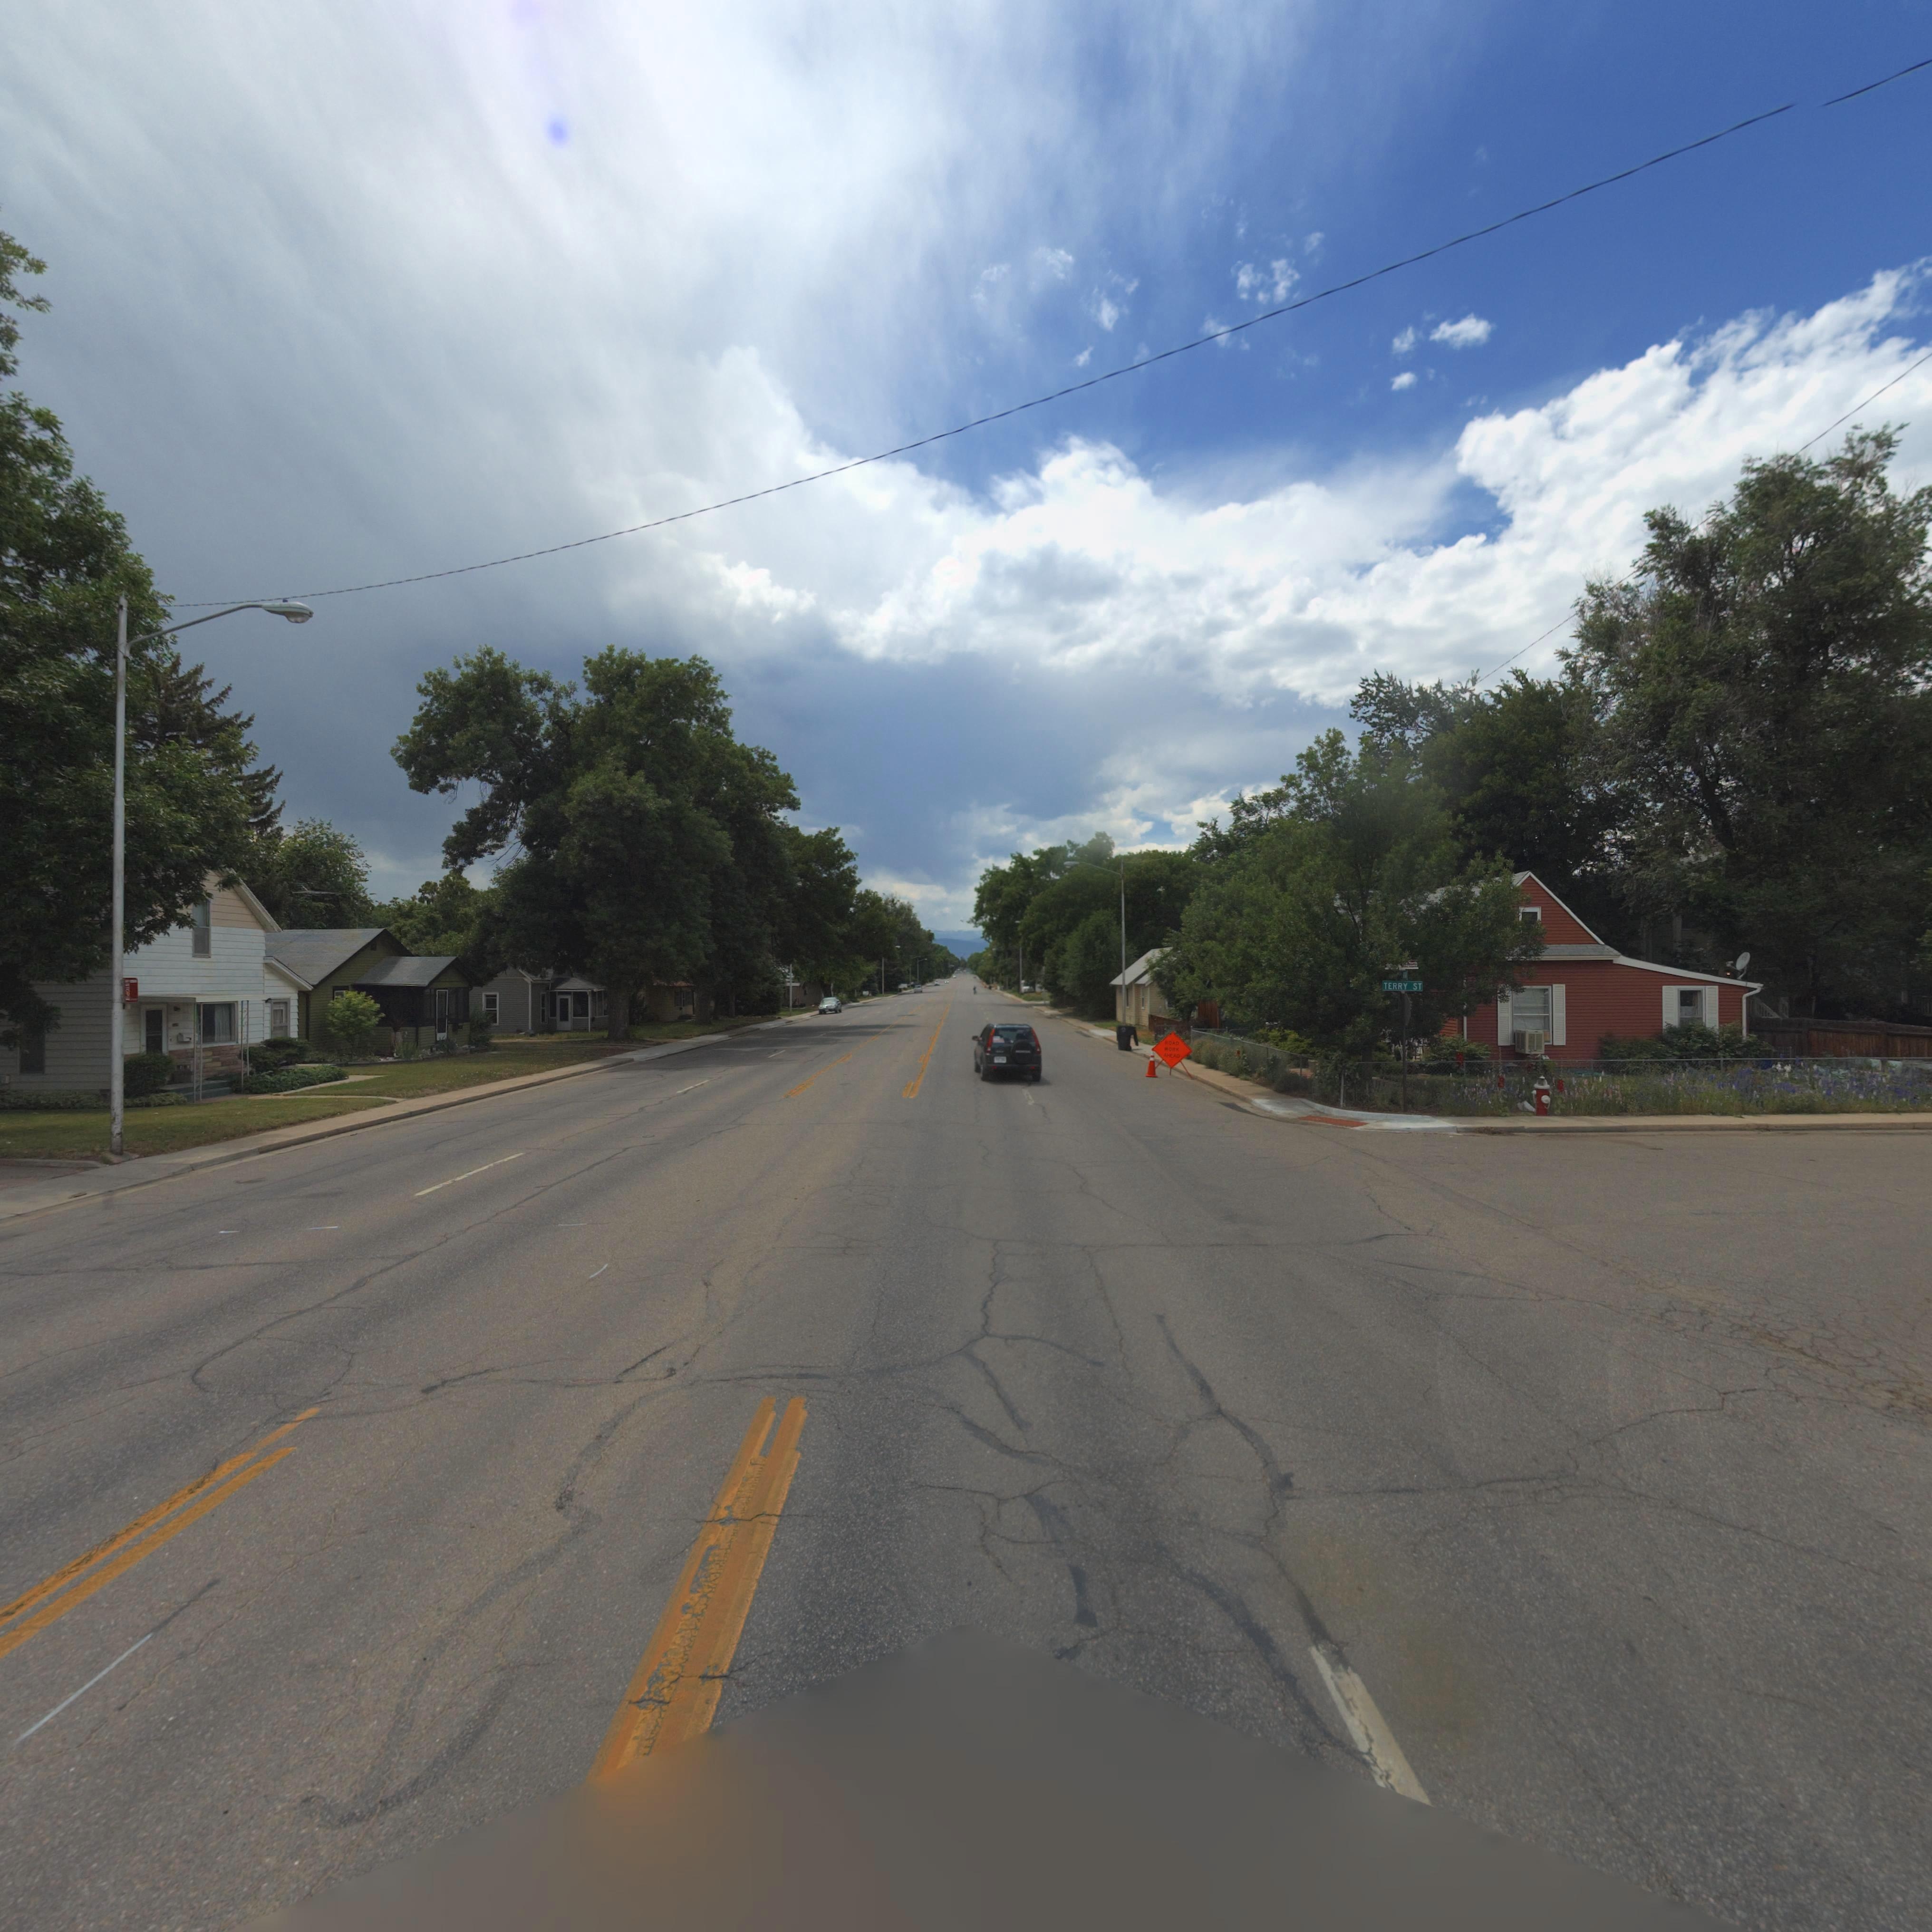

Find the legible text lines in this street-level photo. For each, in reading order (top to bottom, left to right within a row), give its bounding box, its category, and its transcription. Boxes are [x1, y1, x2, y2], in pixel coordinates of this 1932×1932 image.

[1383, 982, 1421, 990] StreetName: TERRY ST